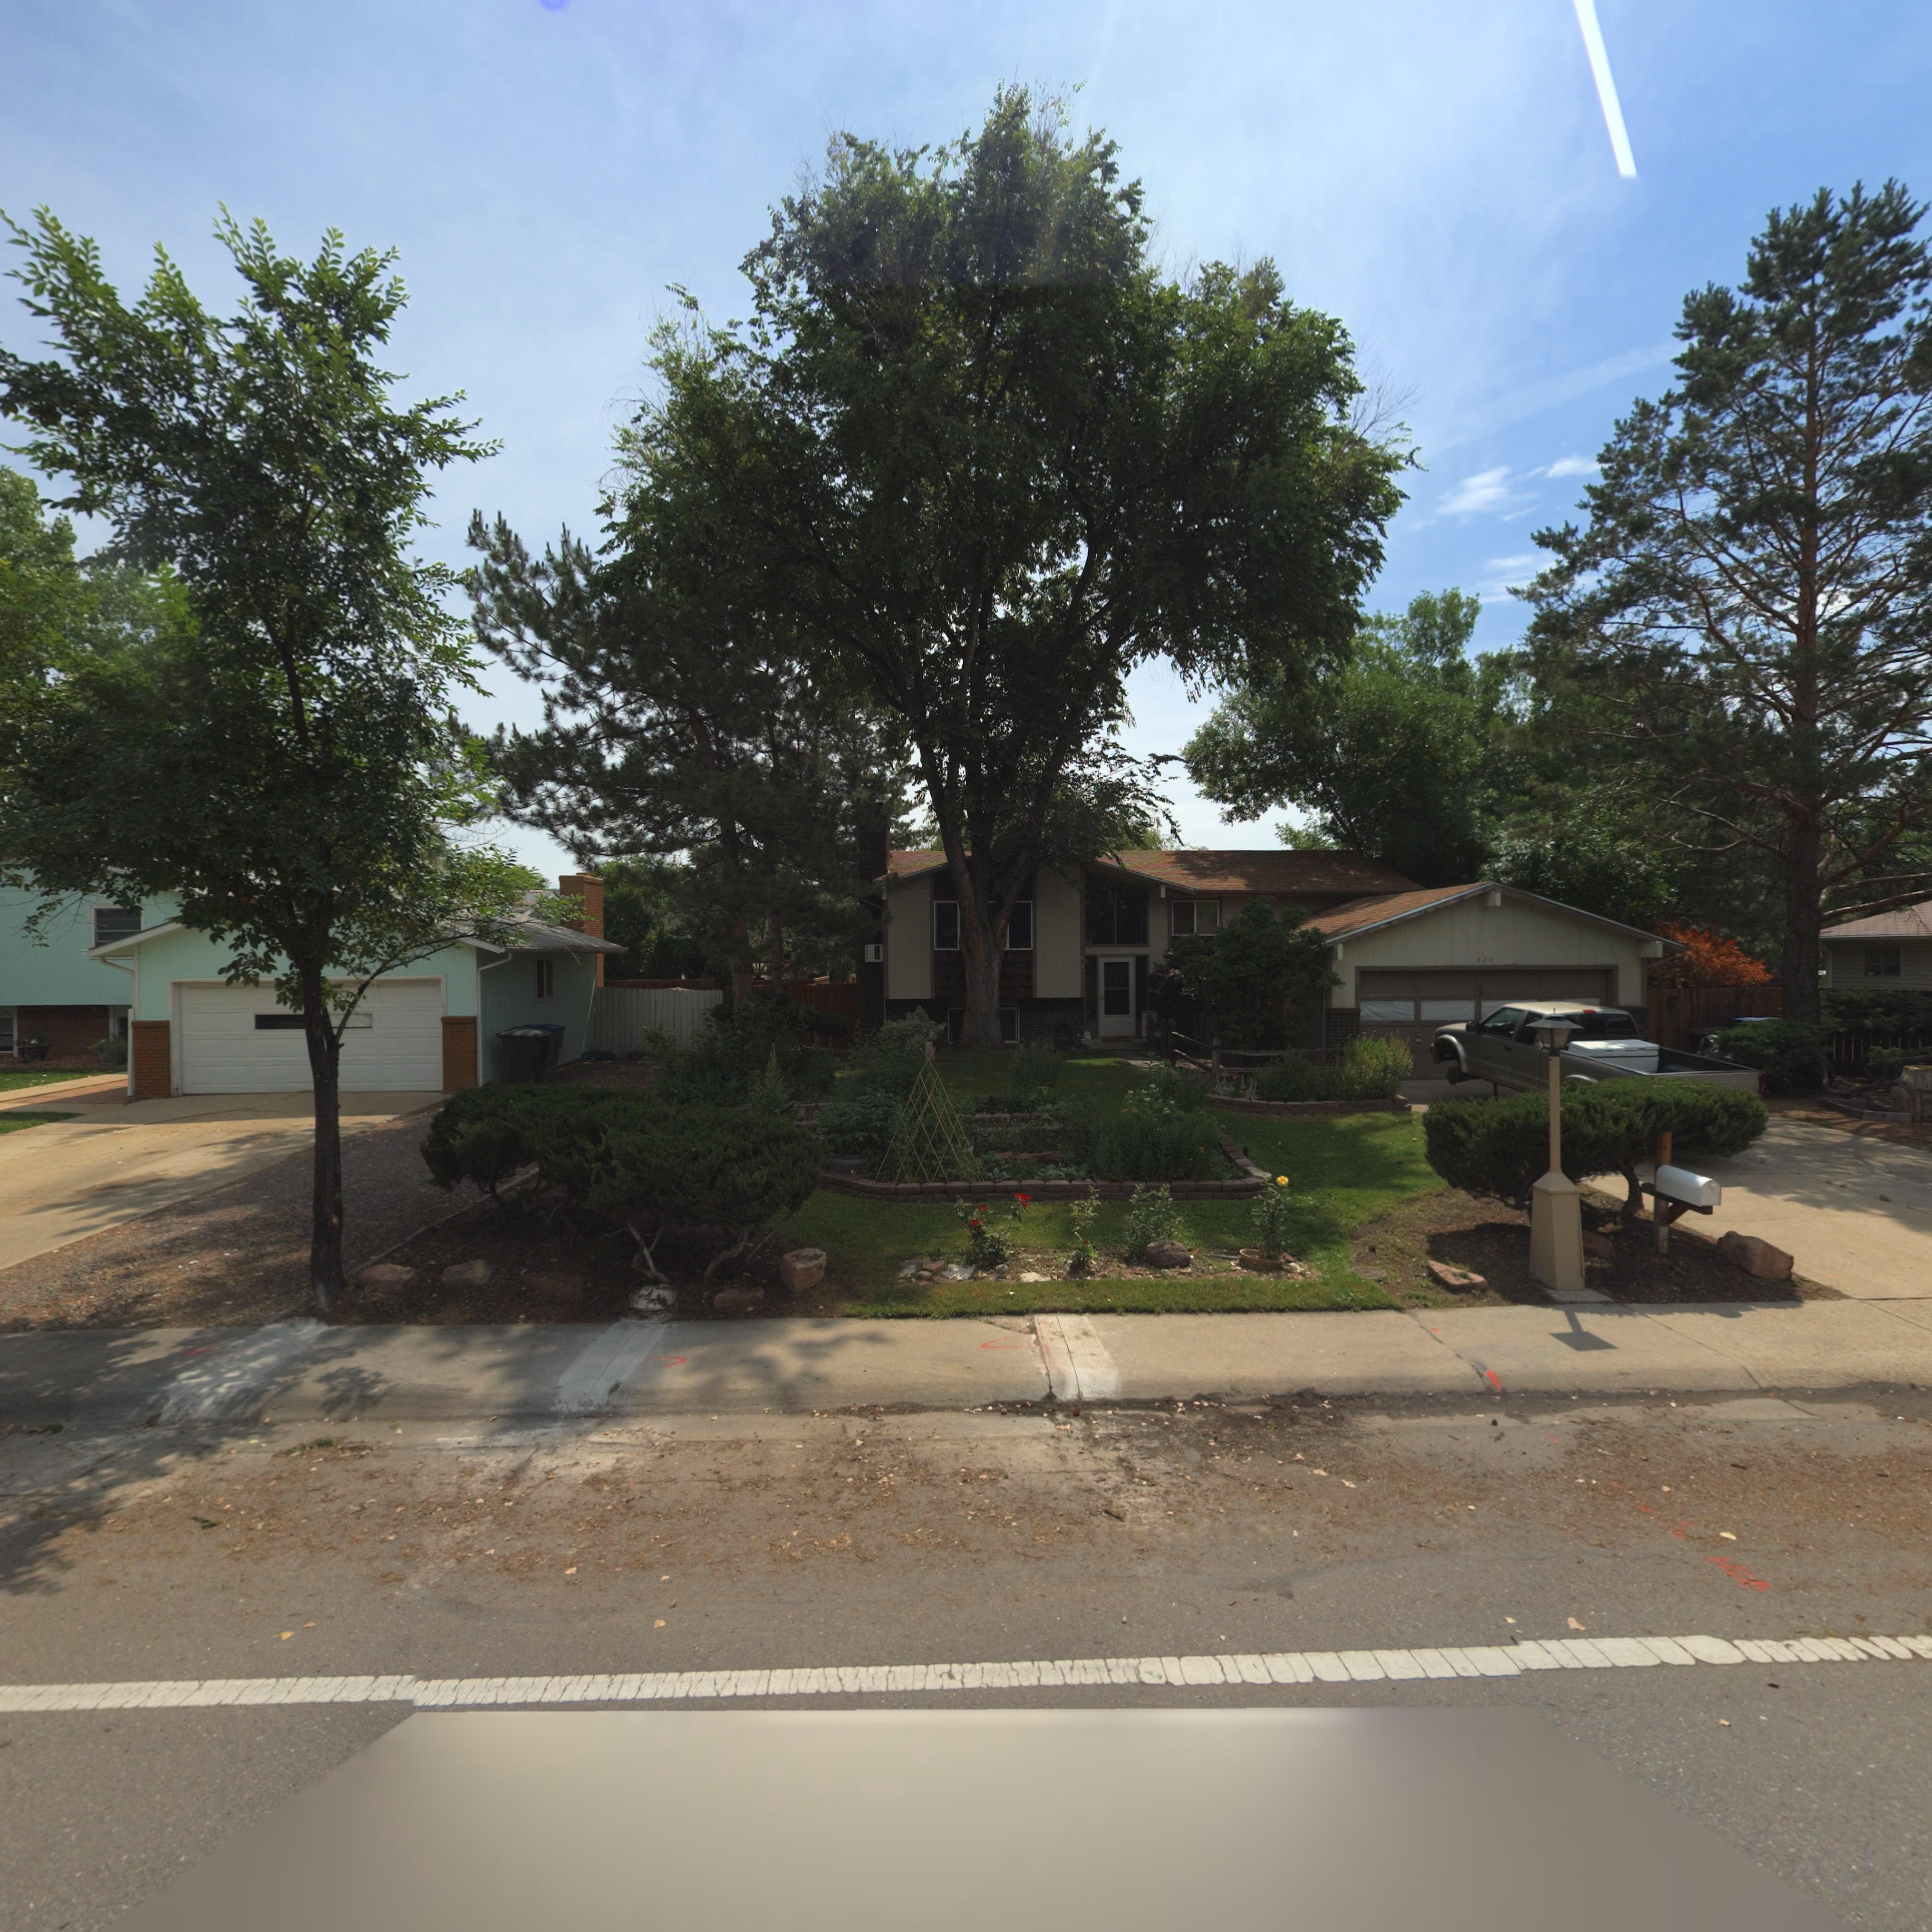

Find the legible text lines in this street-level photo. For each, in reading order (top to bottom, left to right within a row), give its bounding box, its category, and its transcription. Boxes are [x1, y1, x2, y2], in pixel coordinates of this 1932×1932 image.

[1476, 956, 1493, 962] StreetNumber: 830
[1081, 964, 1085, 982] StreetNumber: 830